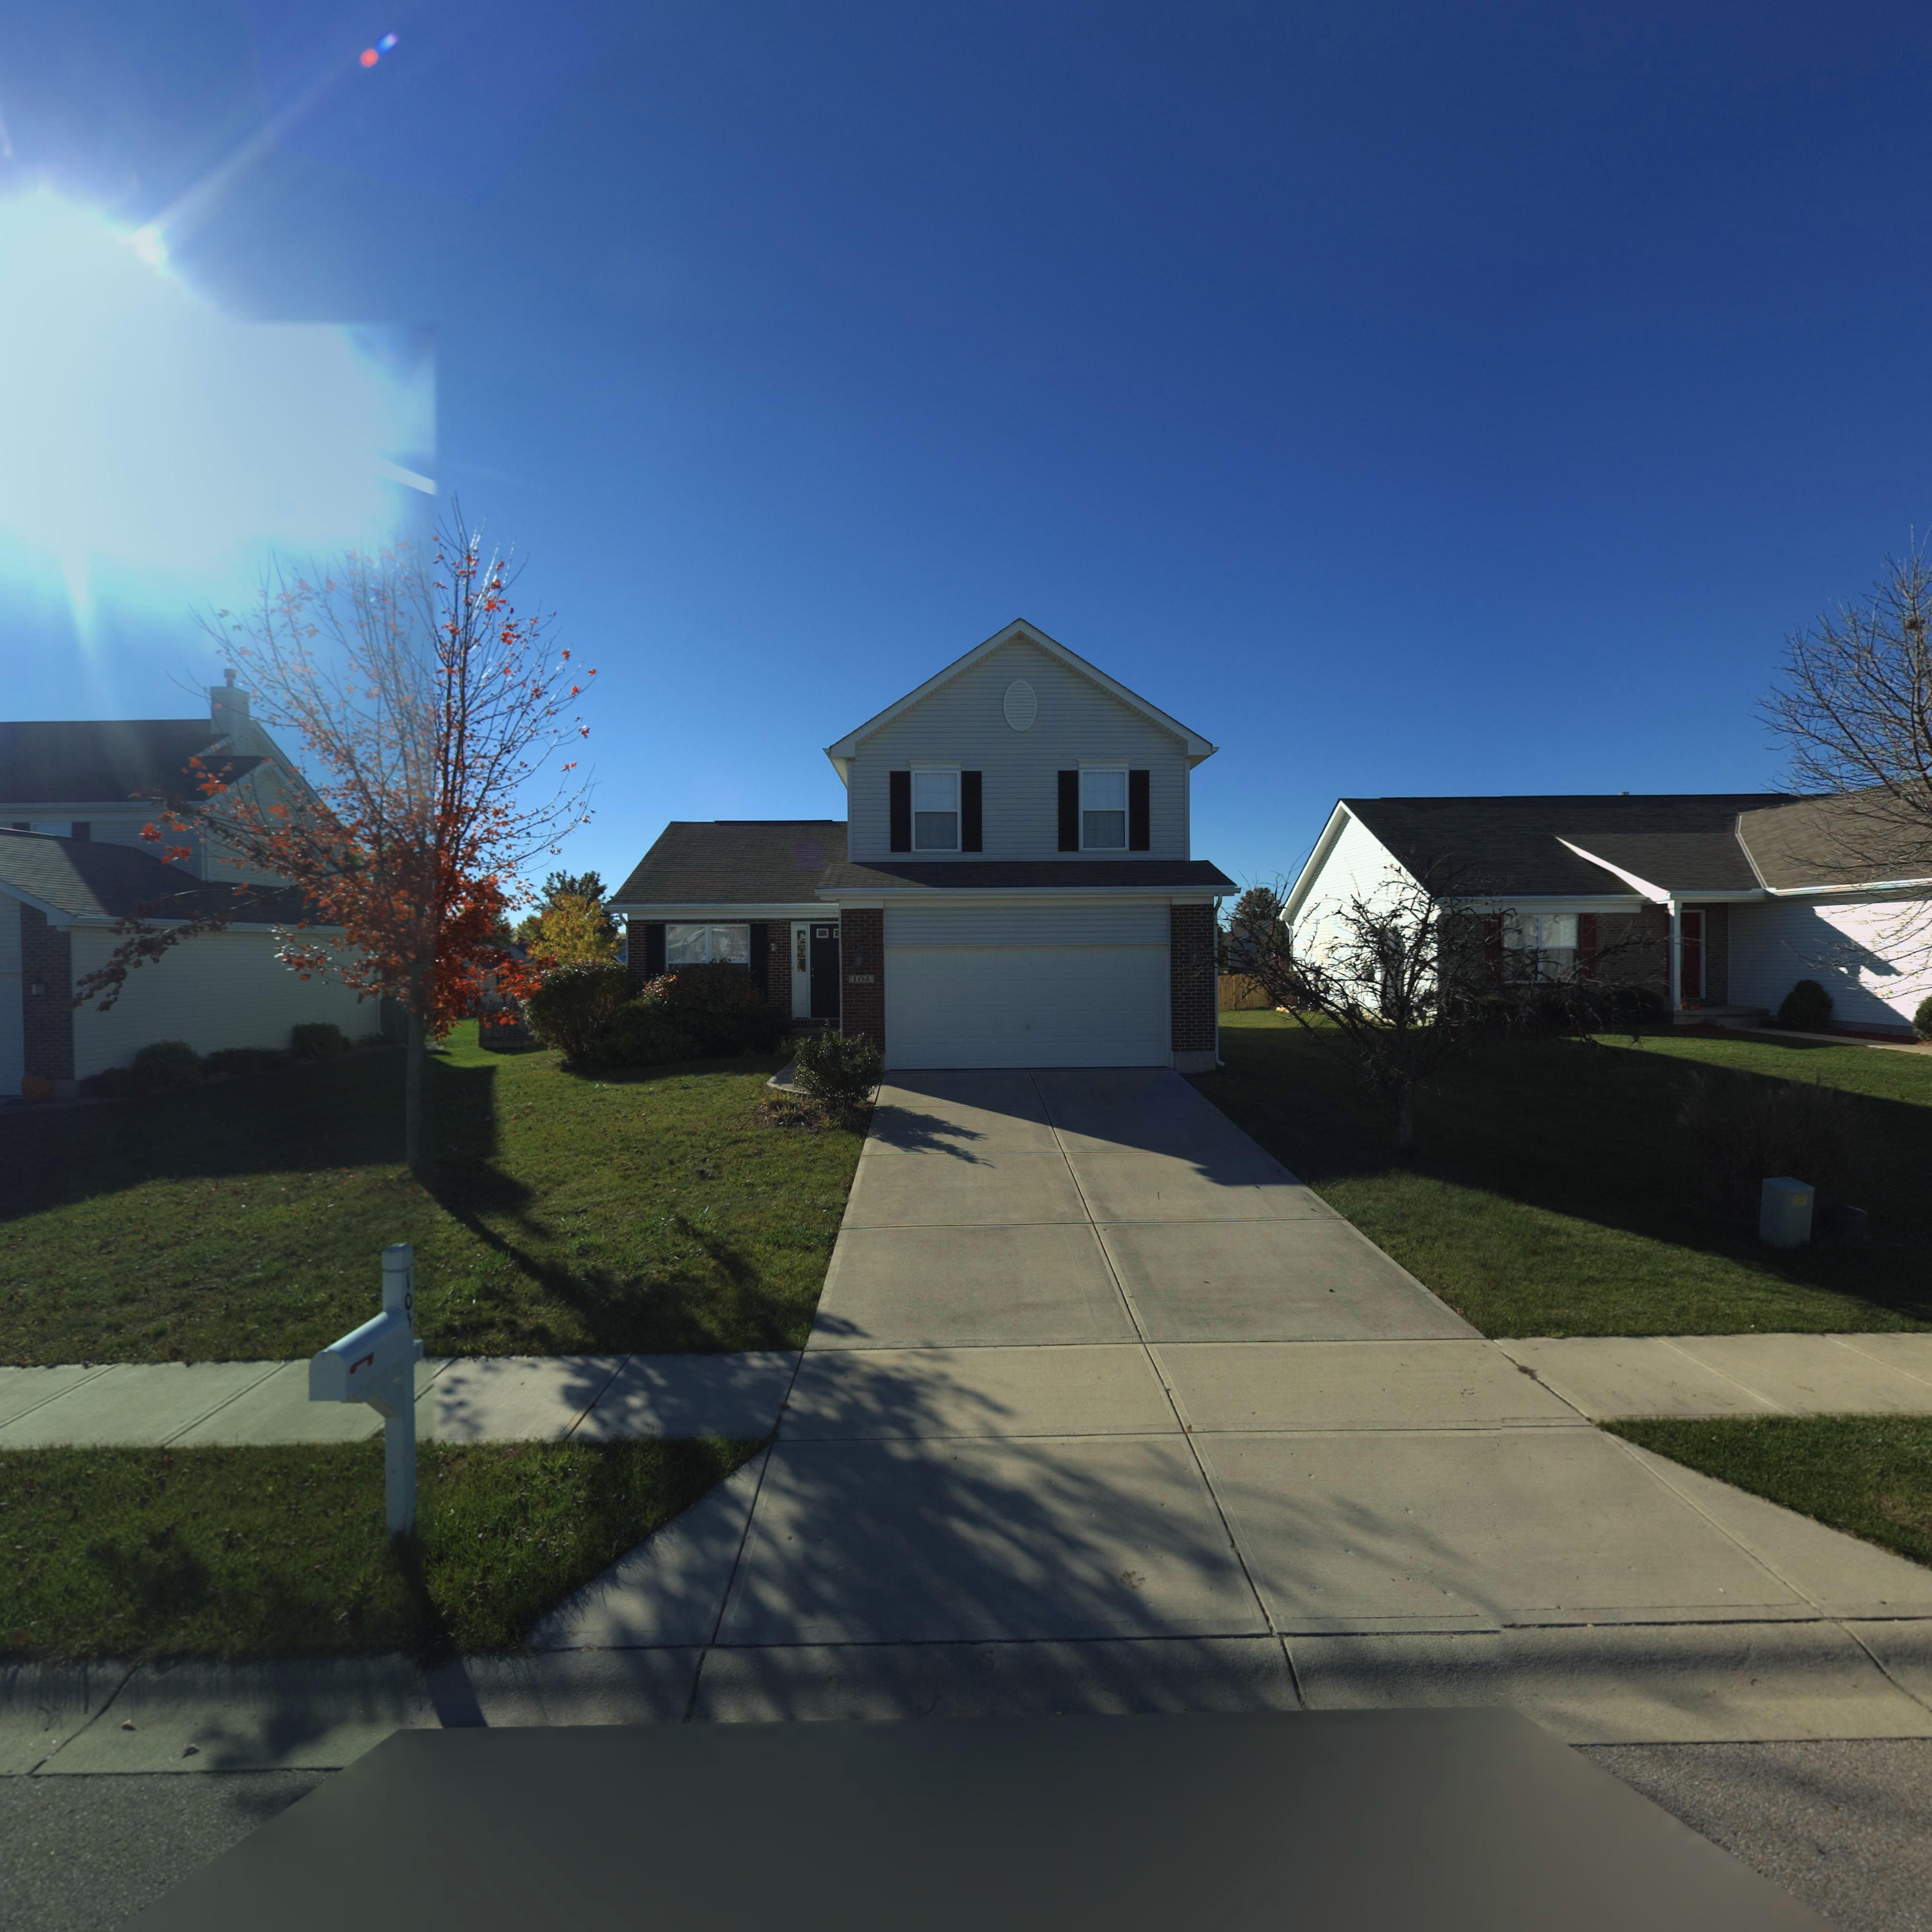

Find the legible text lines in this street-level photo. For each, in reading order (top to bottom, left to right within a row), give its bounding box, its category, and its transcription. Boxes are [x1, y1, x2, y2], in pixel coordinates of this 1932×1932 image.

[853, 975, 870, 983] StreetNumber: 104
[402, 1269, 415, 1312] StreetNumber: 10